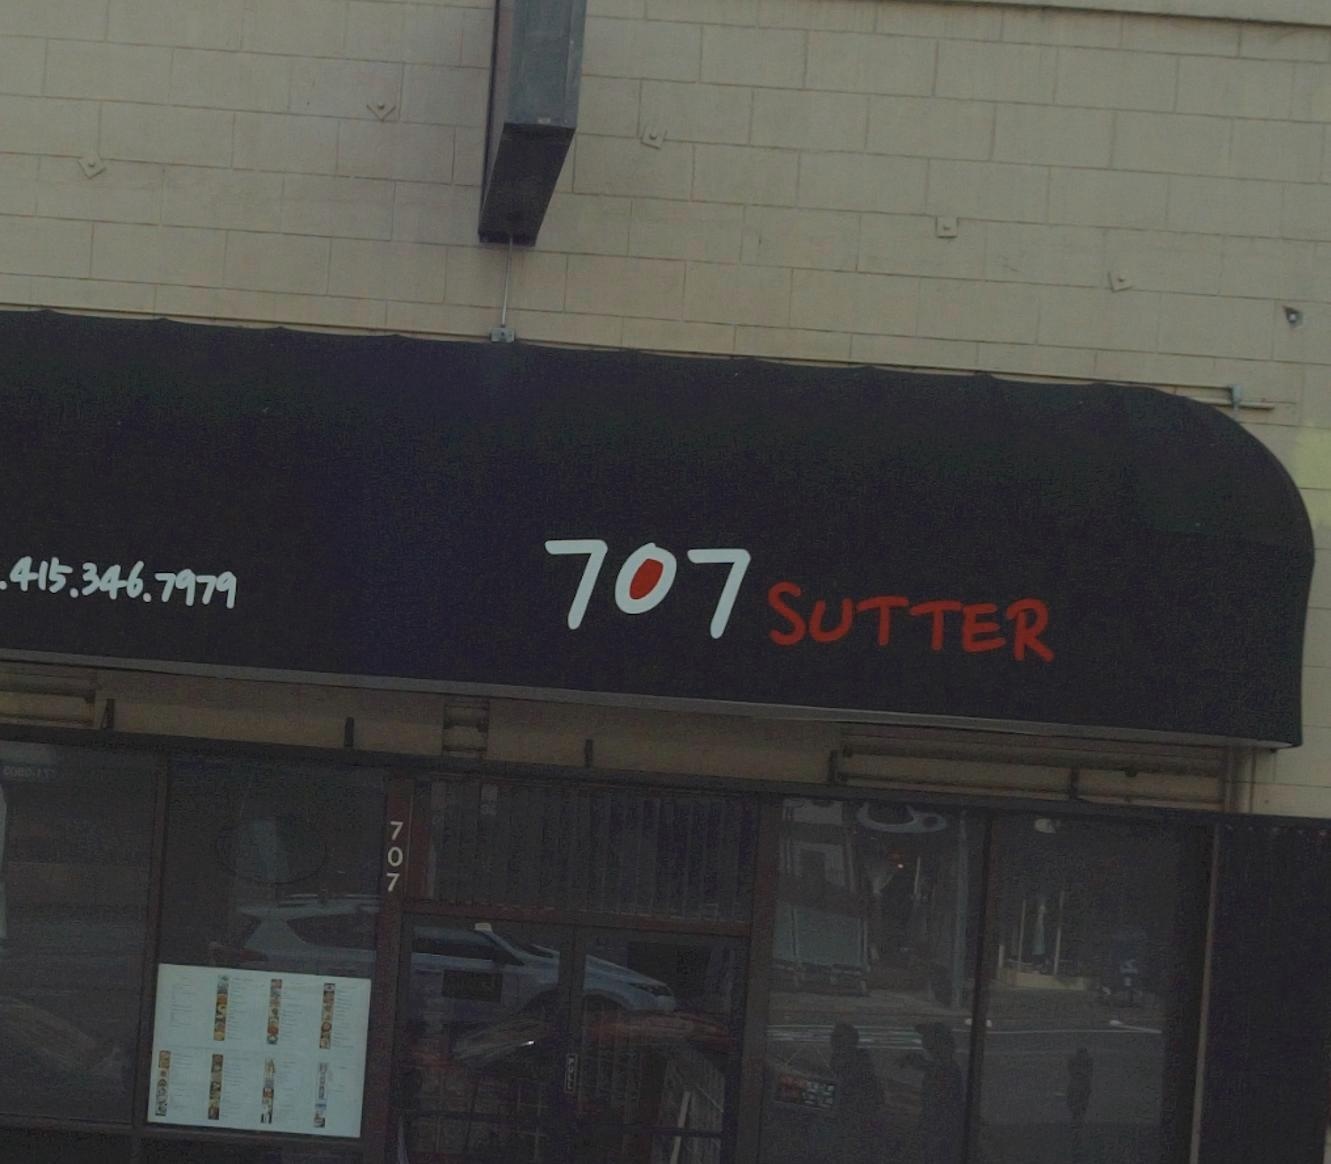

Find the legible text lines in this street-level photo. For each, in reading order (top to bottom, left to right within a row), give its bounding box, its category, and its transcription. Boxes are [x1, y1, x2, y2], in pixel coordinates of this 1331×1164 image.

[4, 547, 246, 620] None: 415.346.7979
[538, 532, 762, 644] StreetNumber: 707
[760, 571, 1067, 670] StreetName: SUTTER
[383, 812, 409, 900] None: 707